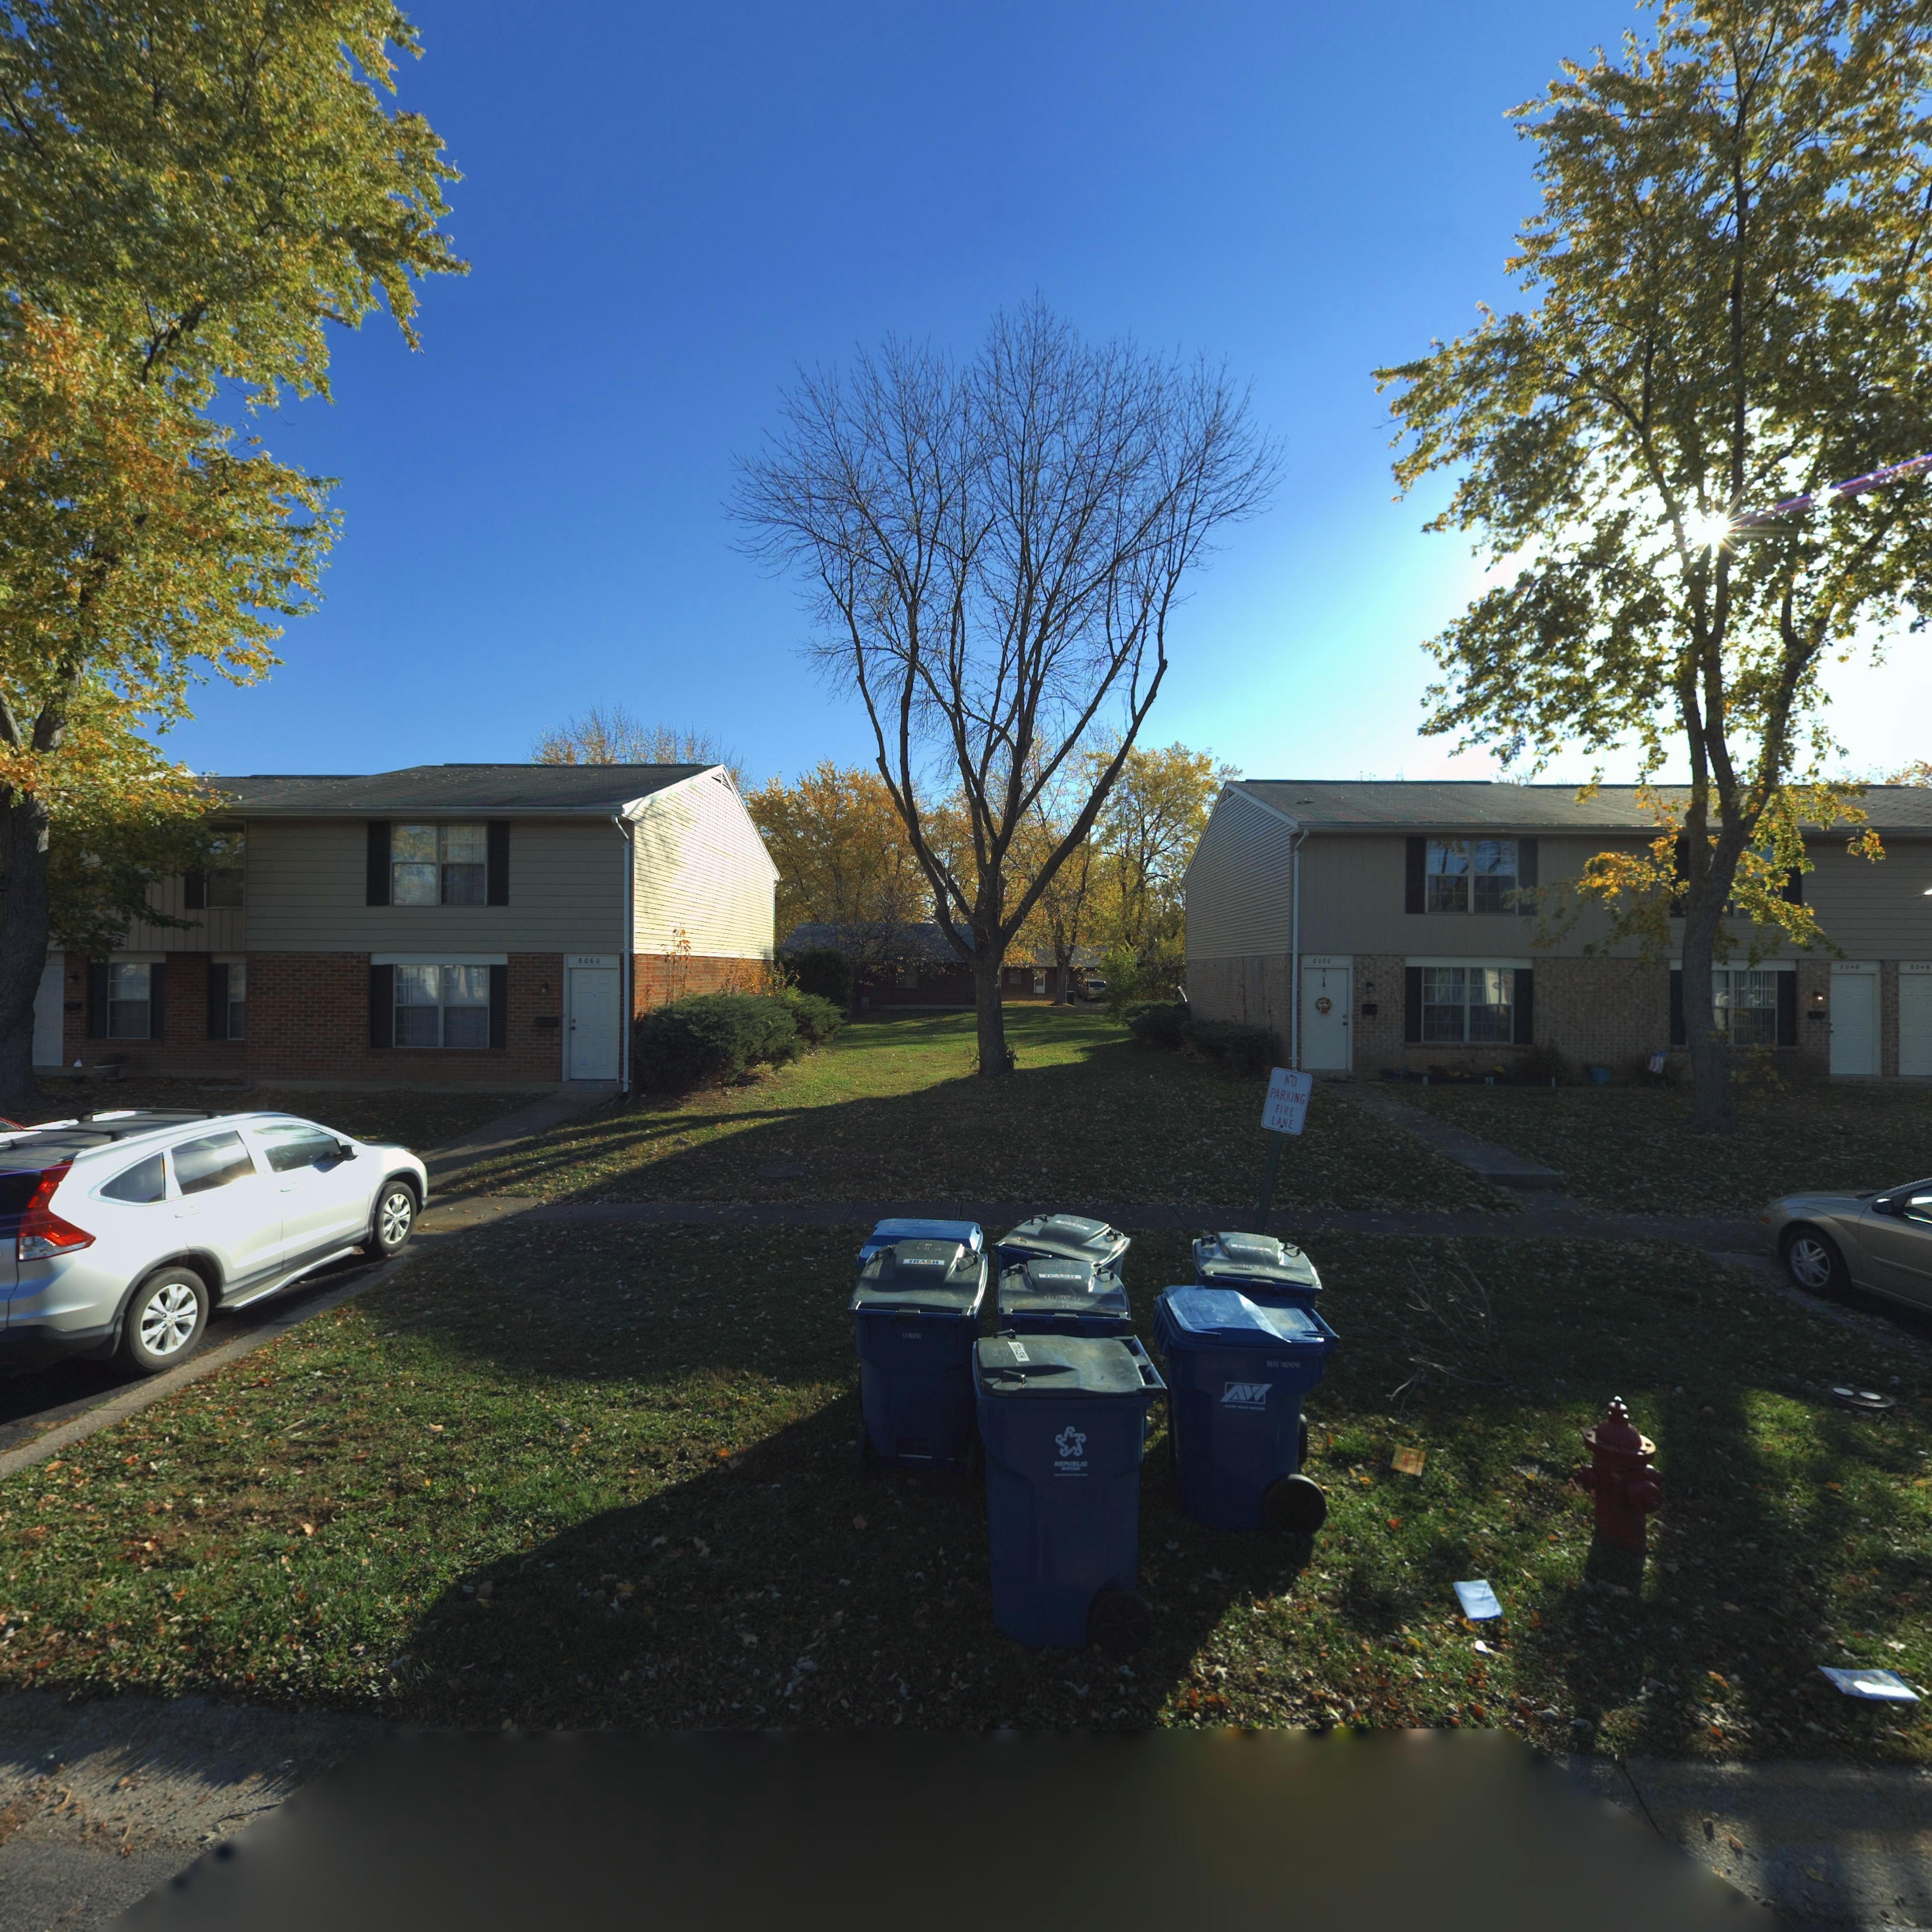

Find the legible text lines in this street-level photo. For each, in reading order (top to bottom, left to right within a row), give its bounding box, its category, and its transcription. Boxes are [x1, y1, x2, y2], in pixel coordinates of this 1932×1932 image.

[47, 954, 51, 960] StreetNumber: 2
[578, 957, 600, 964] StreetNumber: 8060
[1312, 957, 1332, 964] StreetNumber: 8050
[1839, 964, 1860, 970] StreetNumber: 8048
[1909, 964, 1930, 970] StreetNumber: 804*